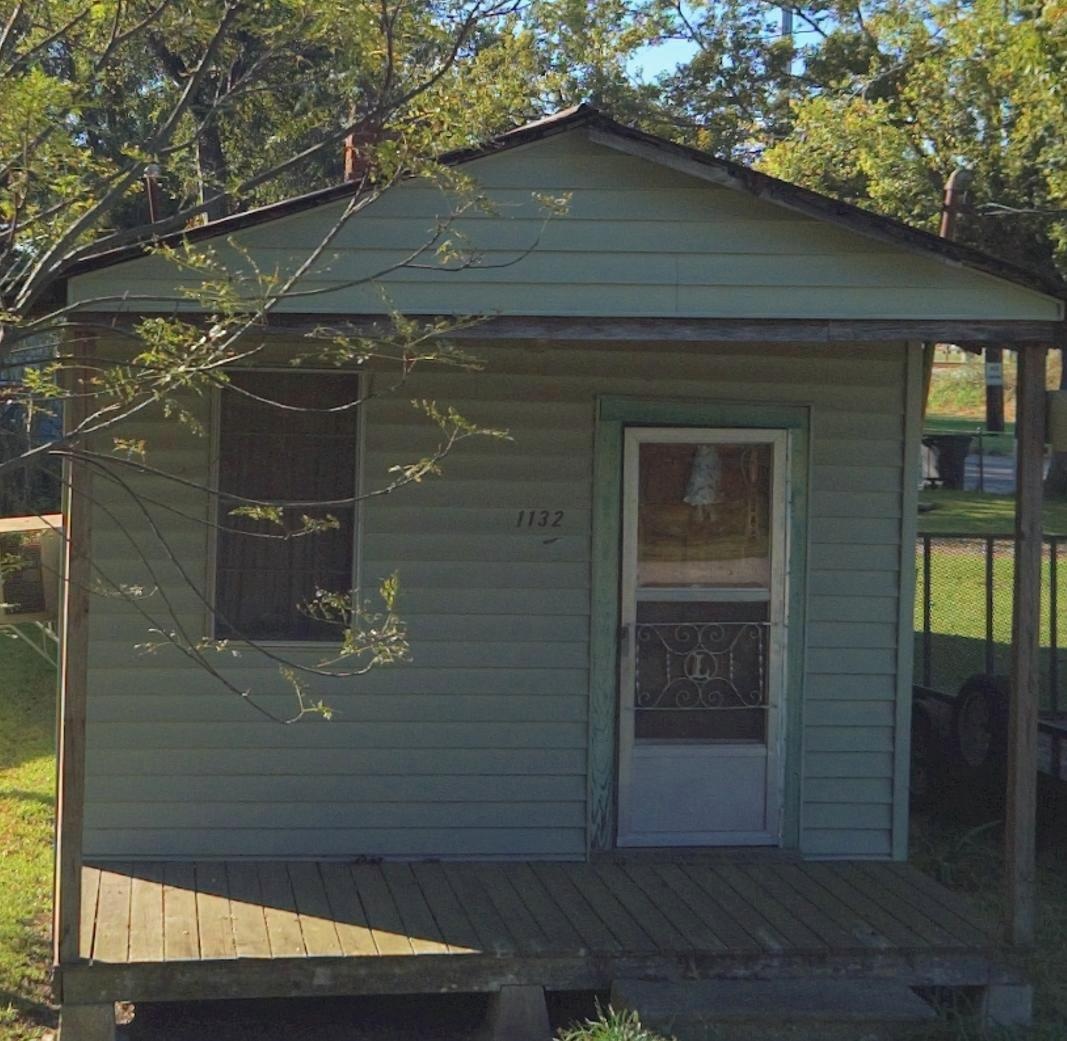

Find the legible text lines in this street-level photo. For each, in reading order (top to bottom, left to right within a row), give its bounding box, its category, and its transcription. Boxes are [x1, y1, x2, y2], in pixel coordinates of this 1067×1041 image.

[511, 506, 568, 531] StreetNumber: 1132